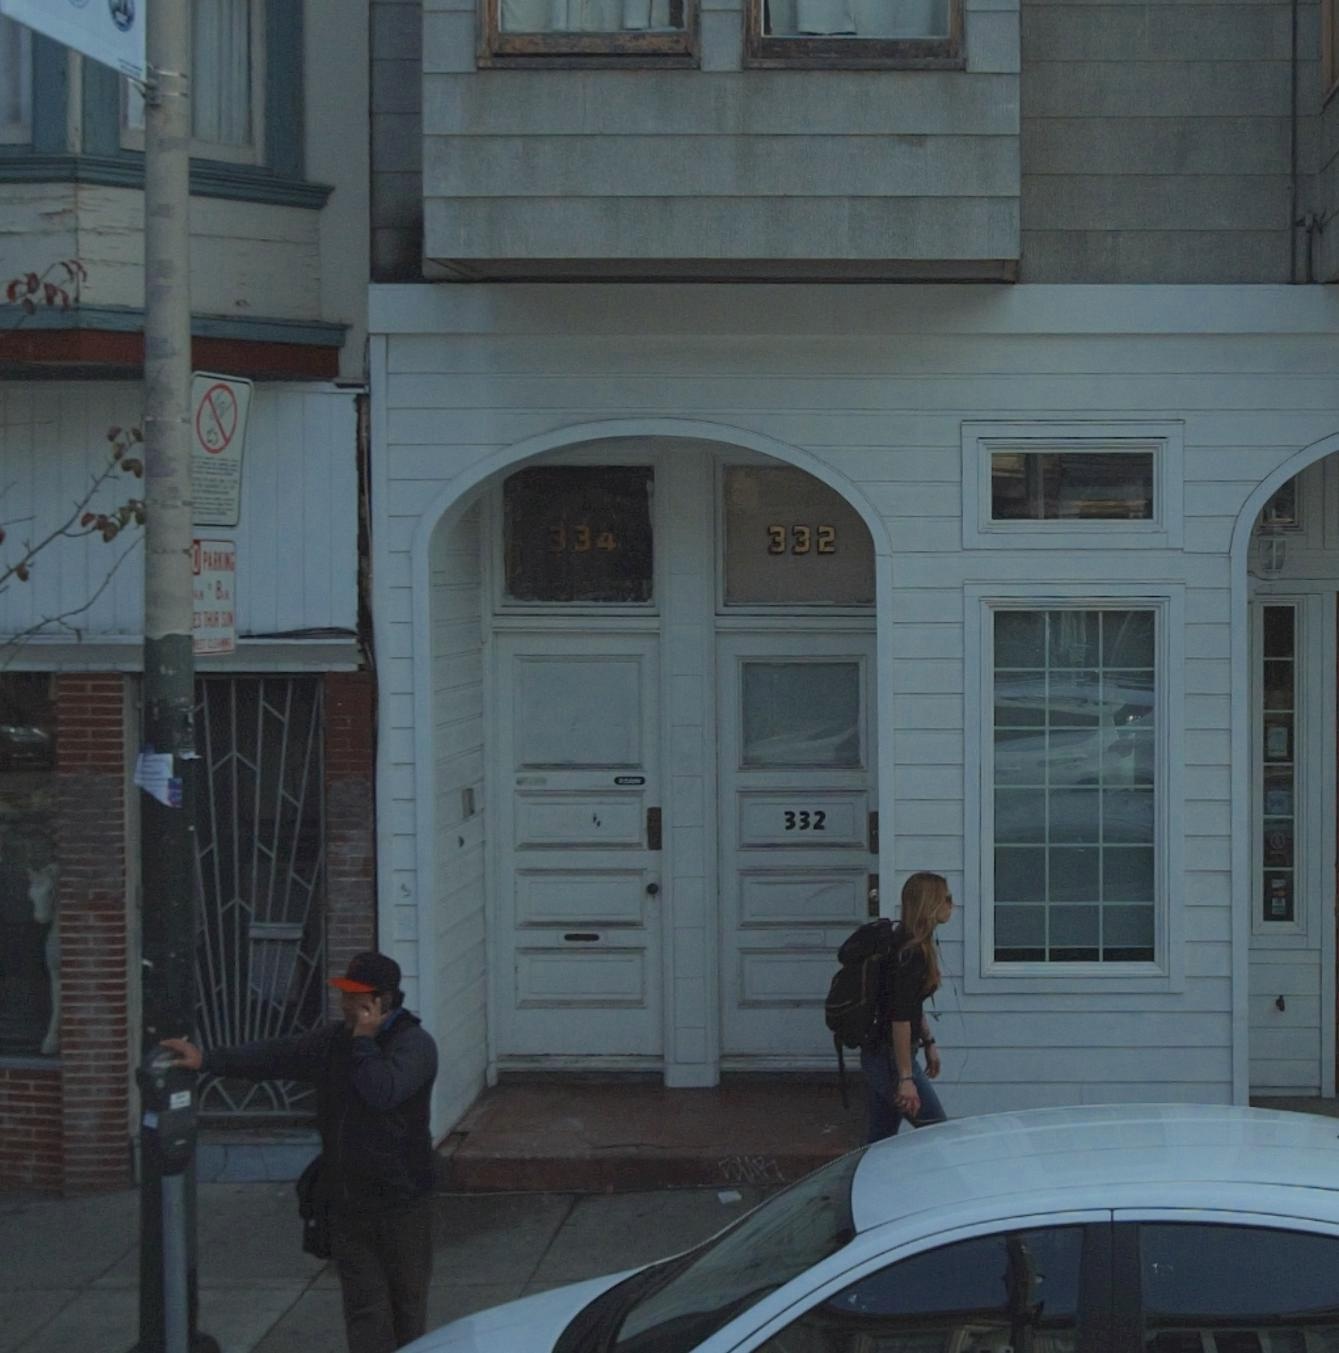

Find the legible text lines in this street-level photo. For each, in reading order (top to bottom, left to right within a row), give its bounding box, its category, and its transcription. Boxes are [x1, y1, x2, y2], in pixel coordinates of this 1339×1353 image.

[547, 523, 617, 554] StreetNumber: 334
[768, 523, 837, 555] StreetNumber: 332
[188, 541, 203, 578] None: O
[213, 576, 223, 603] None: 8
[782, 809, 827, 832] StreetNumber: 332